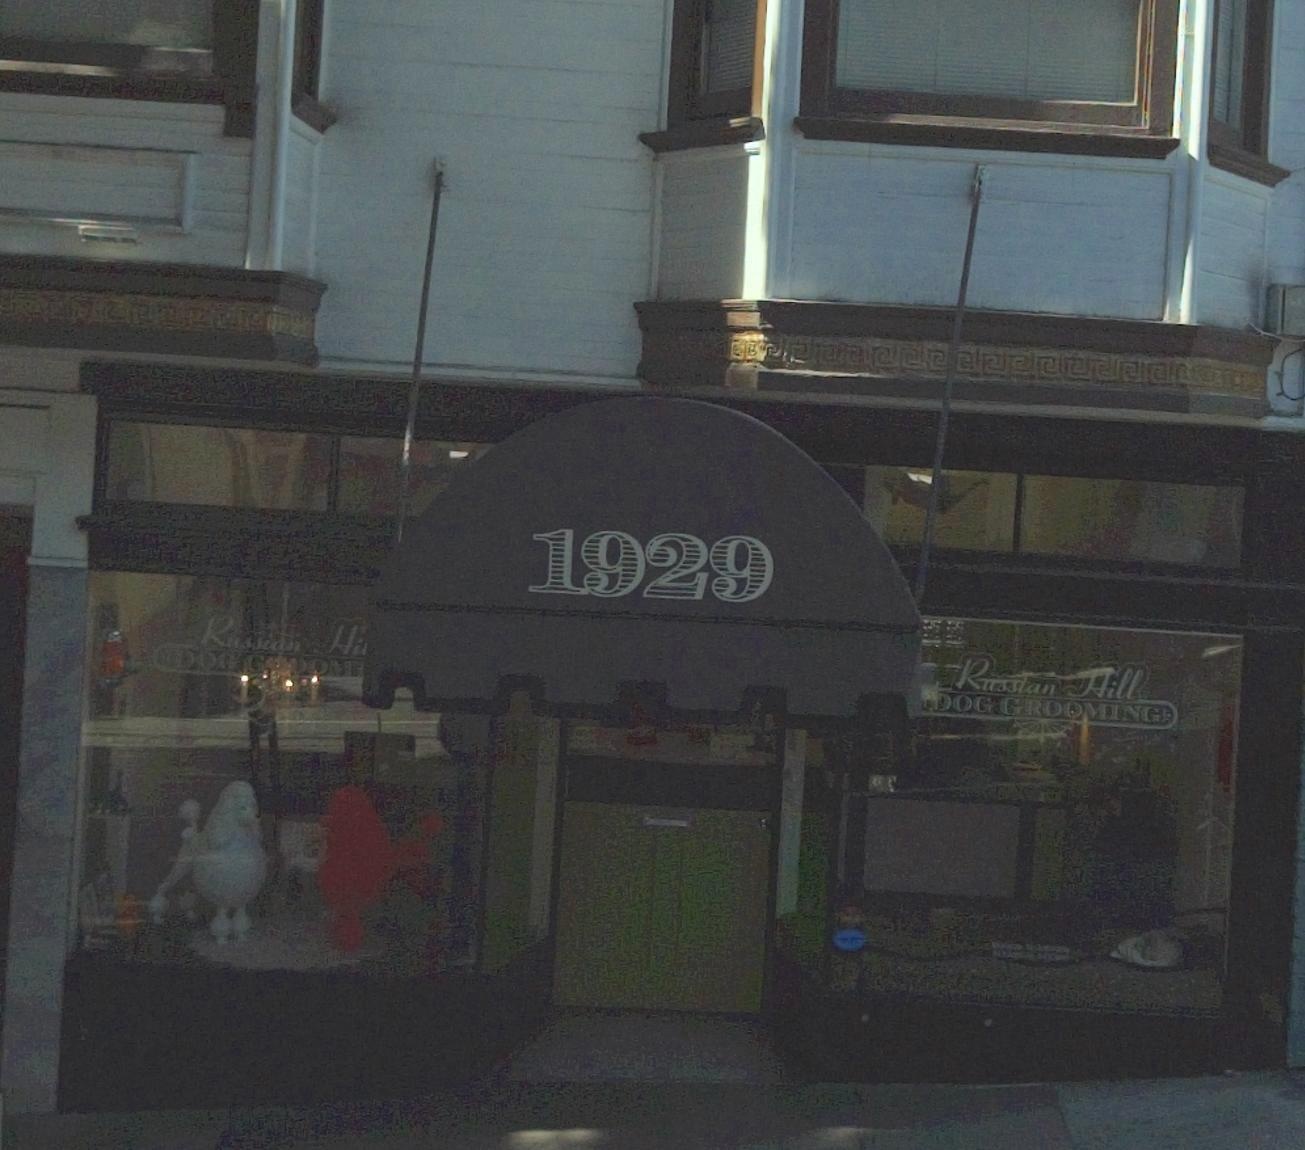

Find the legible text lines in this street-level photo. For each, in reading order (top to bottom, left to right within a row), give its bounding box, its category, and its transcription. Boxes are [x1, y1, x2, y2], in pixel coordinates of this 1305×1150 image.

[523, 524, 779, 608] StreetNumber: 1929
[197, 614, 364, 658] BusinessName: R*ssian Hi
[172, 648, 354, 679] BusinessName: DOG G**OM
[951, 652, 1148, 702] BusinessName: R**sian Hill
[928, 689, 1163, 725] BusinessName: *OG GROOMING